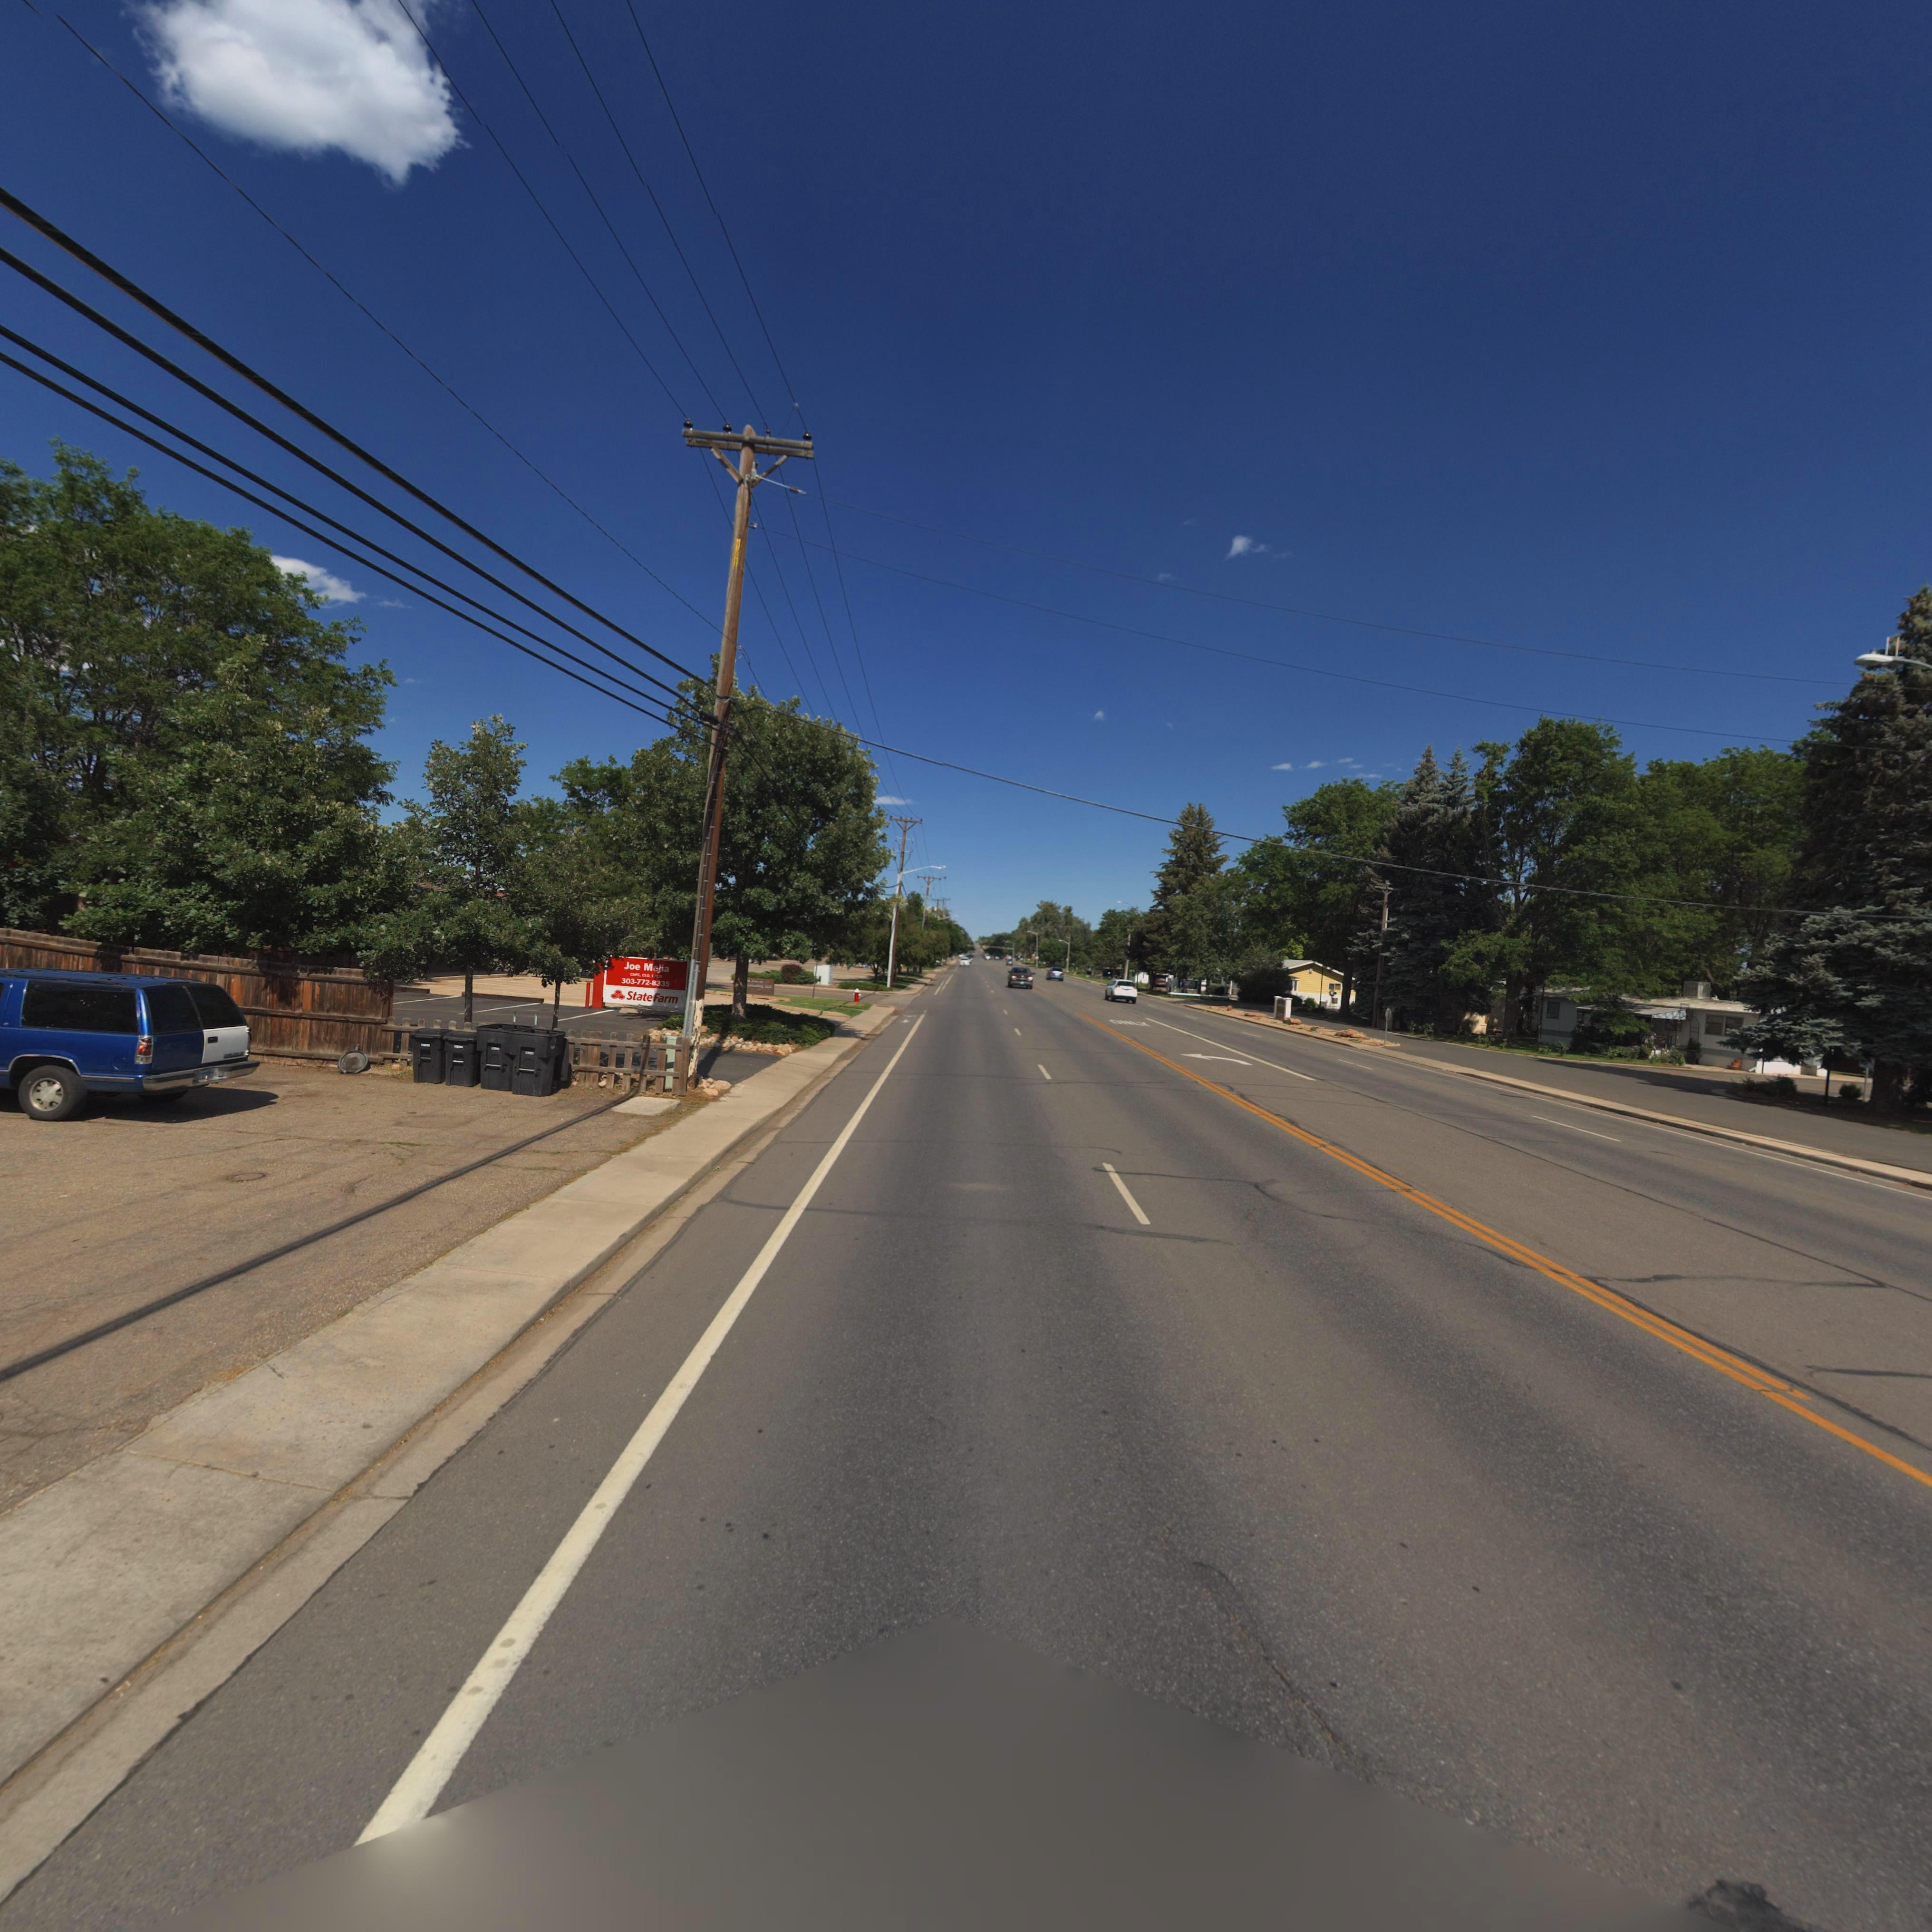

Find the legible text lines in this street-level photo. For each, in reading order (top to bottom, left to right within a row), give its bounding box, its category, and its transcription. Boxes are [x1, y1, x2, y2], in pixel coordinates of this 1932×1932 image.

[745, 979, 763, 983] BusinessName: *** F*** **
[741, 984, 773, 989] BusinessName: **** *o*******g* LLC
[626, 990, 679, 1004] BusinessName: State Farm